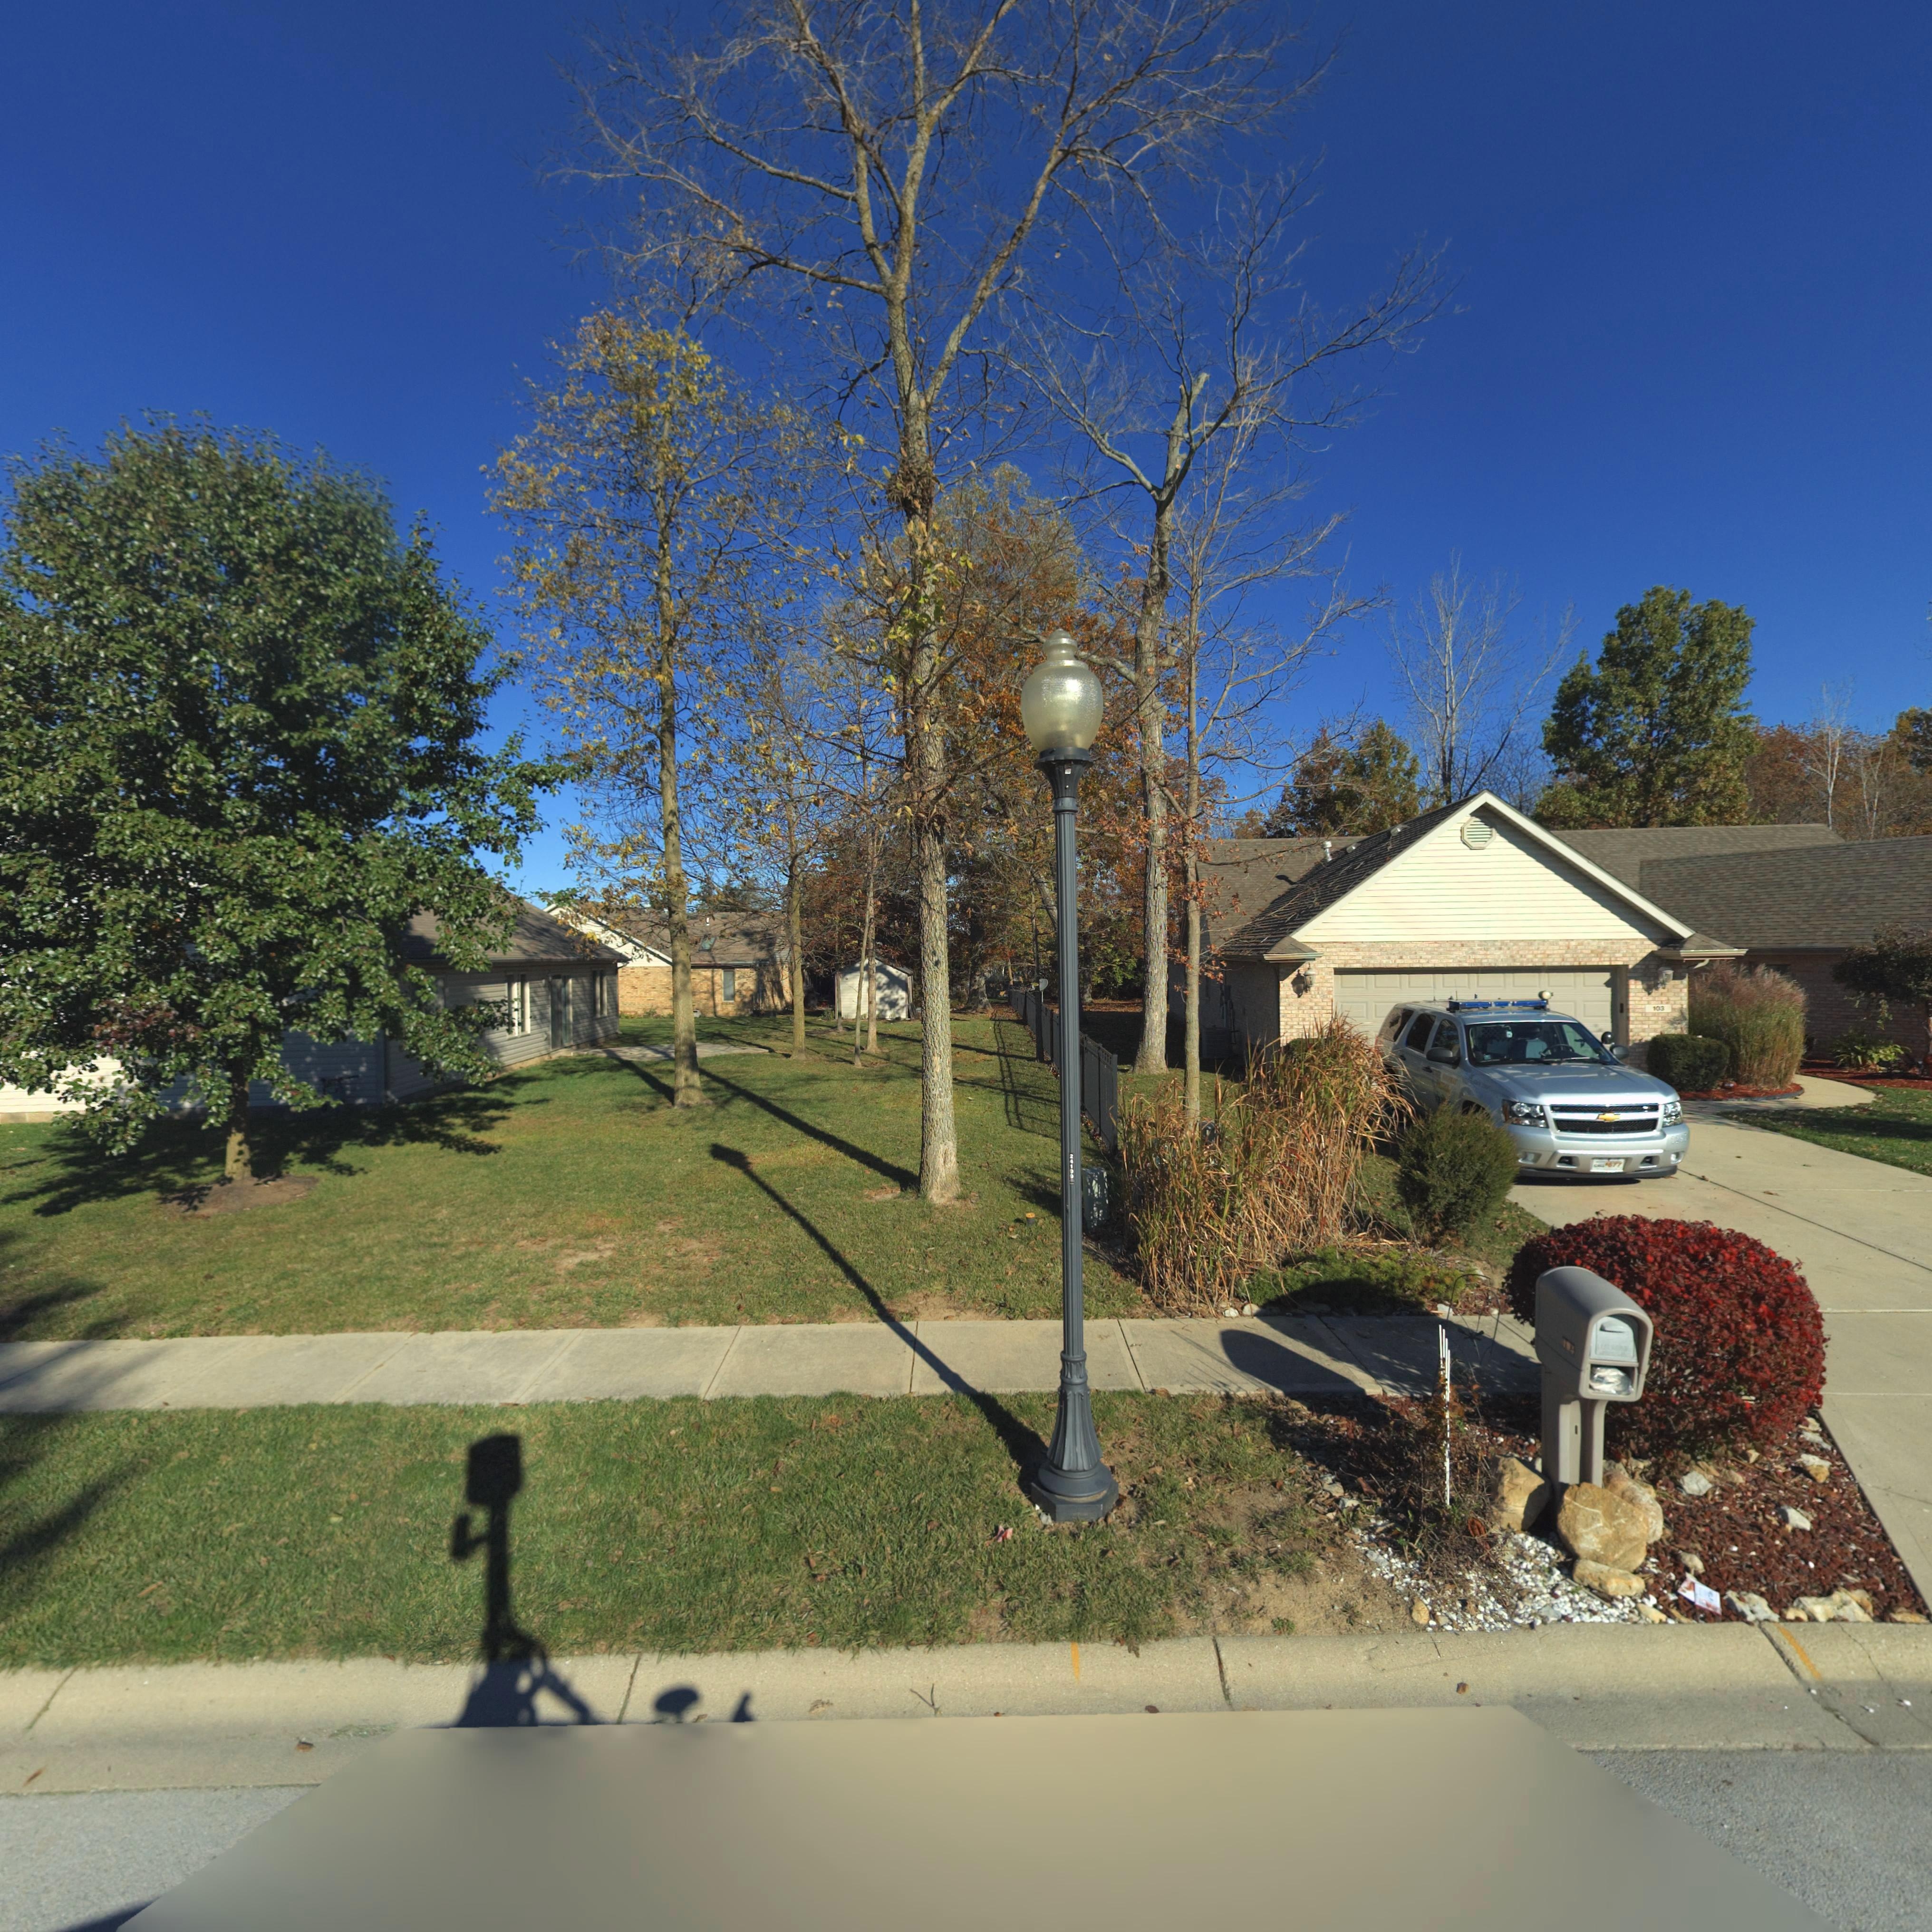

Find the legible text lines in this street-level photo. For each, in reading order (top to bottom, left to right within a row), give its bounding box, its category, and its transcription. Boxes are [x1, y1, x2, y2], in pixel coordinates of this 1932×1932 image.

[1652, 1005, 1665, 1012] StreetNumber: 103